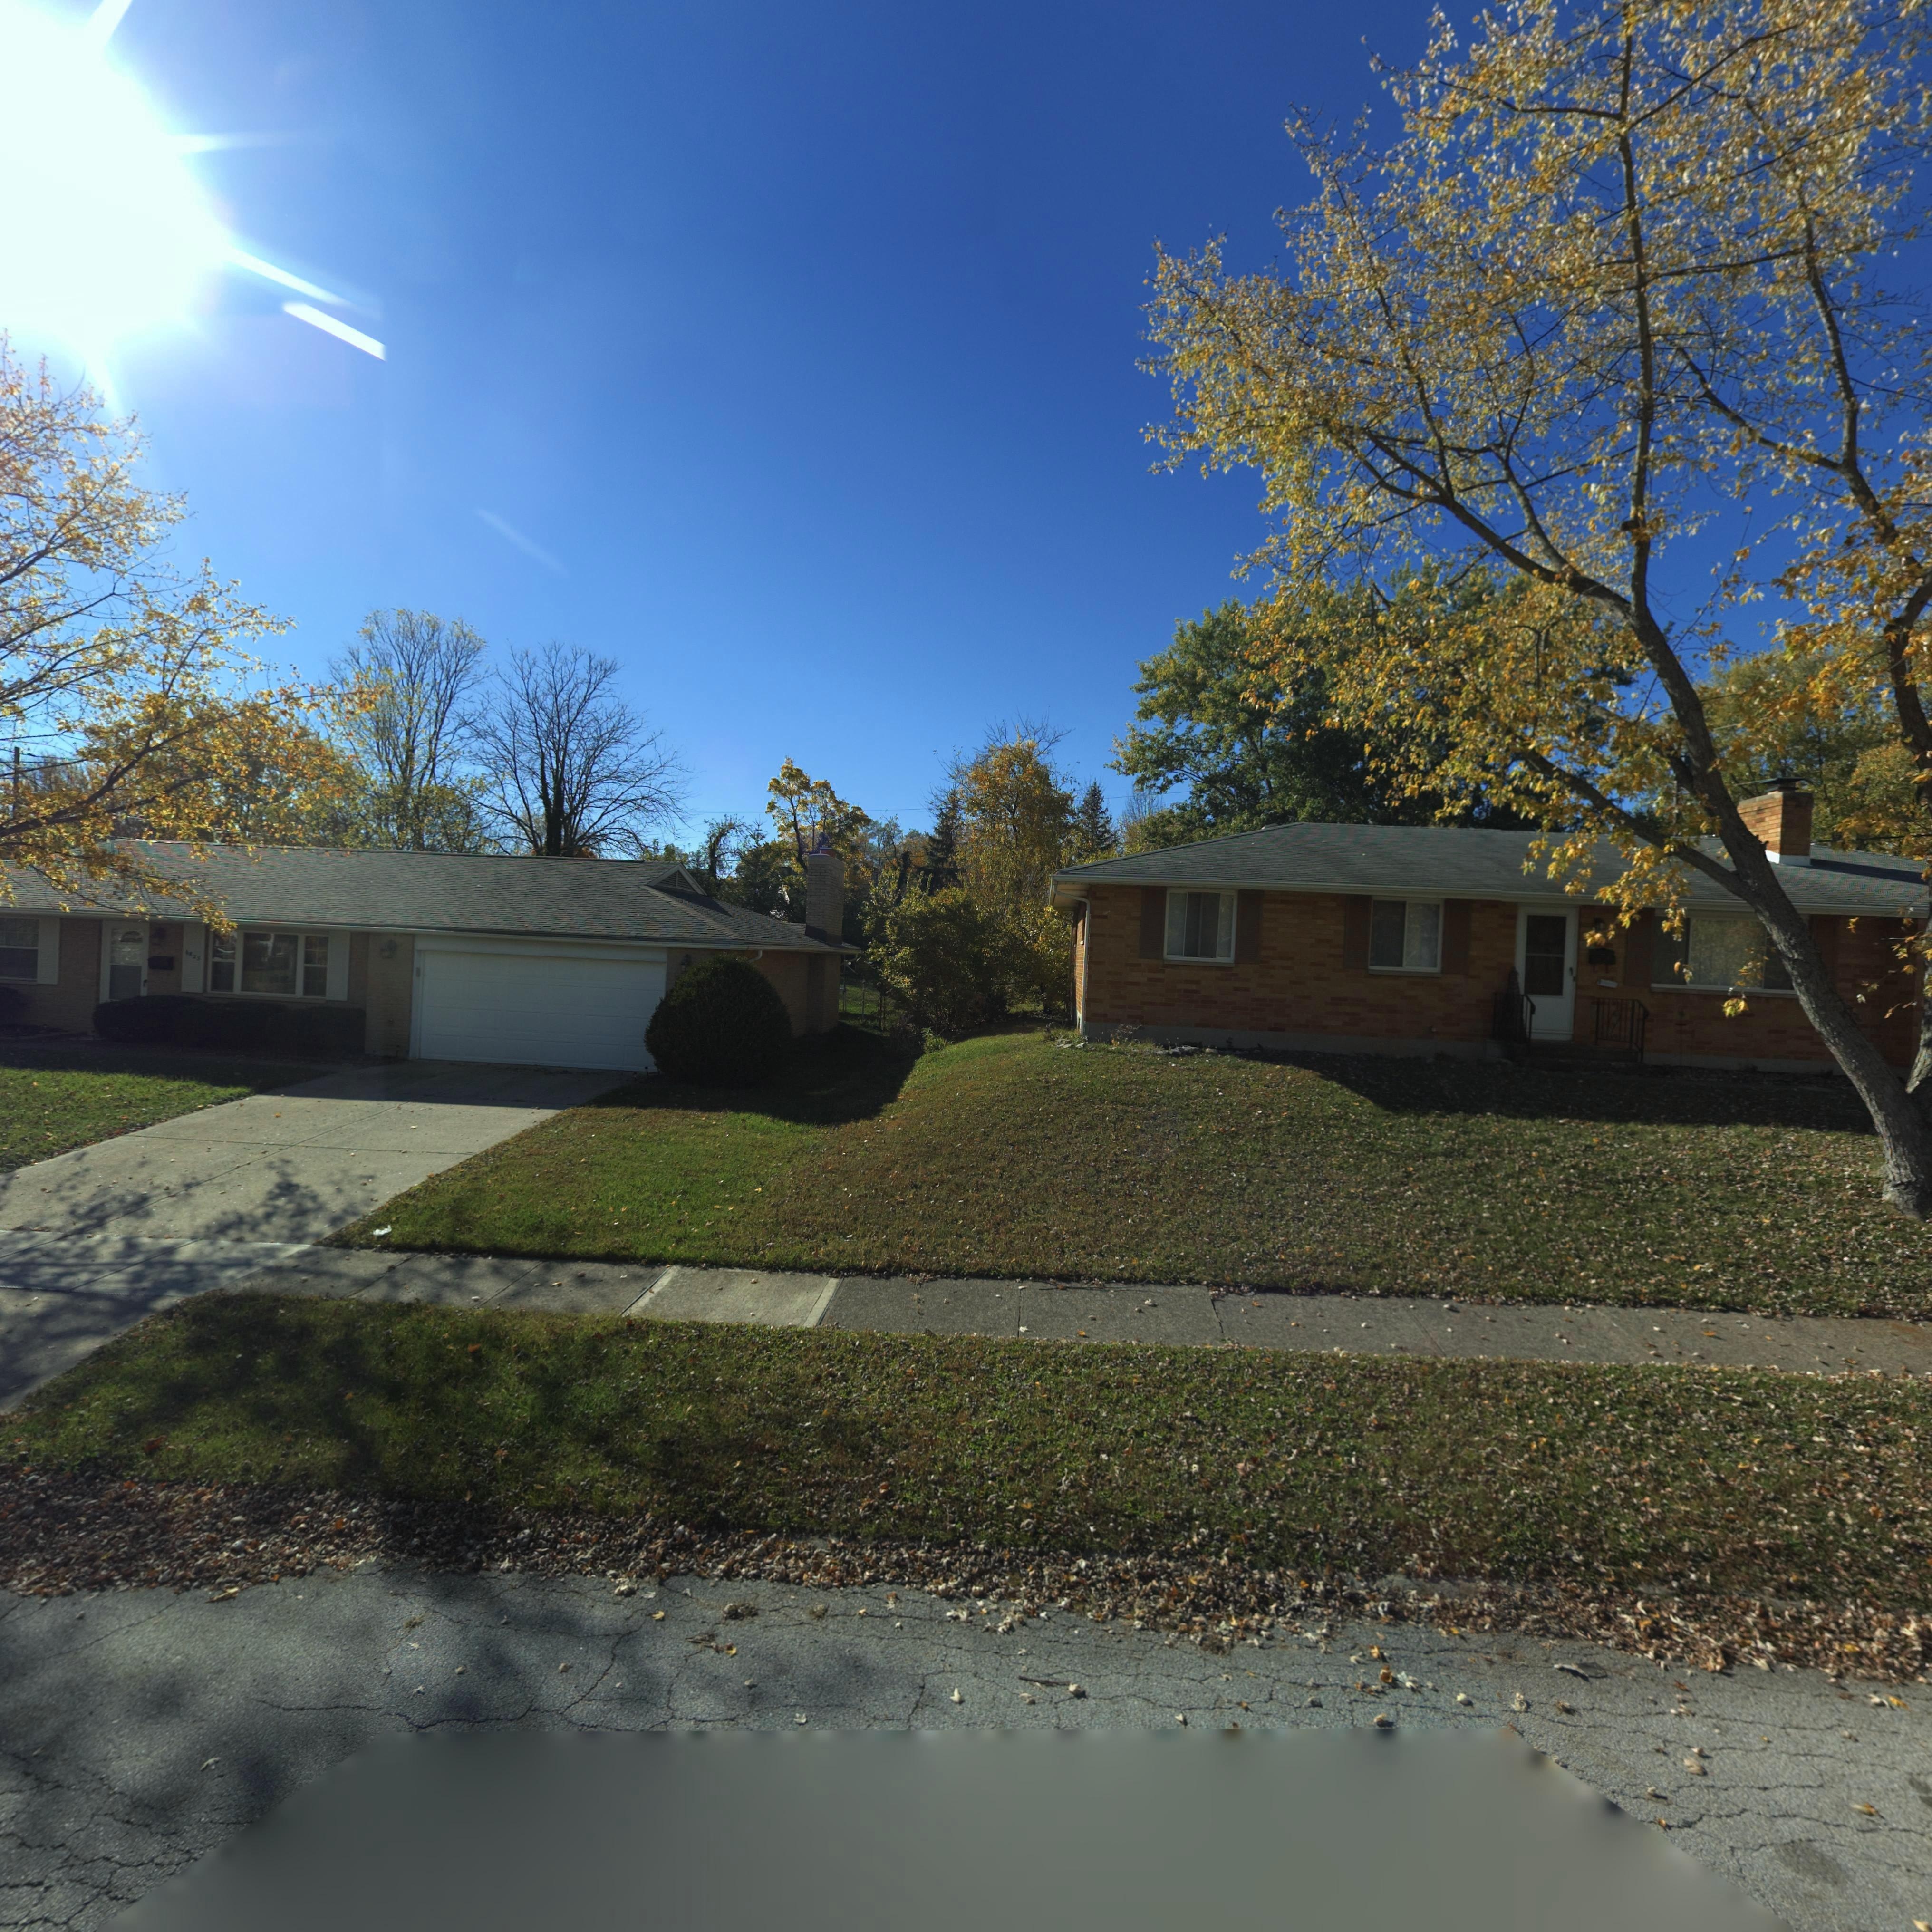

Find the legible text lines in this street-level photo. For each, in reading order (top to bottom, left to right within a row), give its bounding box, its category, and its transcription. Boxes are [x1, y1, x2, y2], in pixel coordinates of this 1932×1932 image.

[184, 948, 202, 962] StreetNumber: 6*25